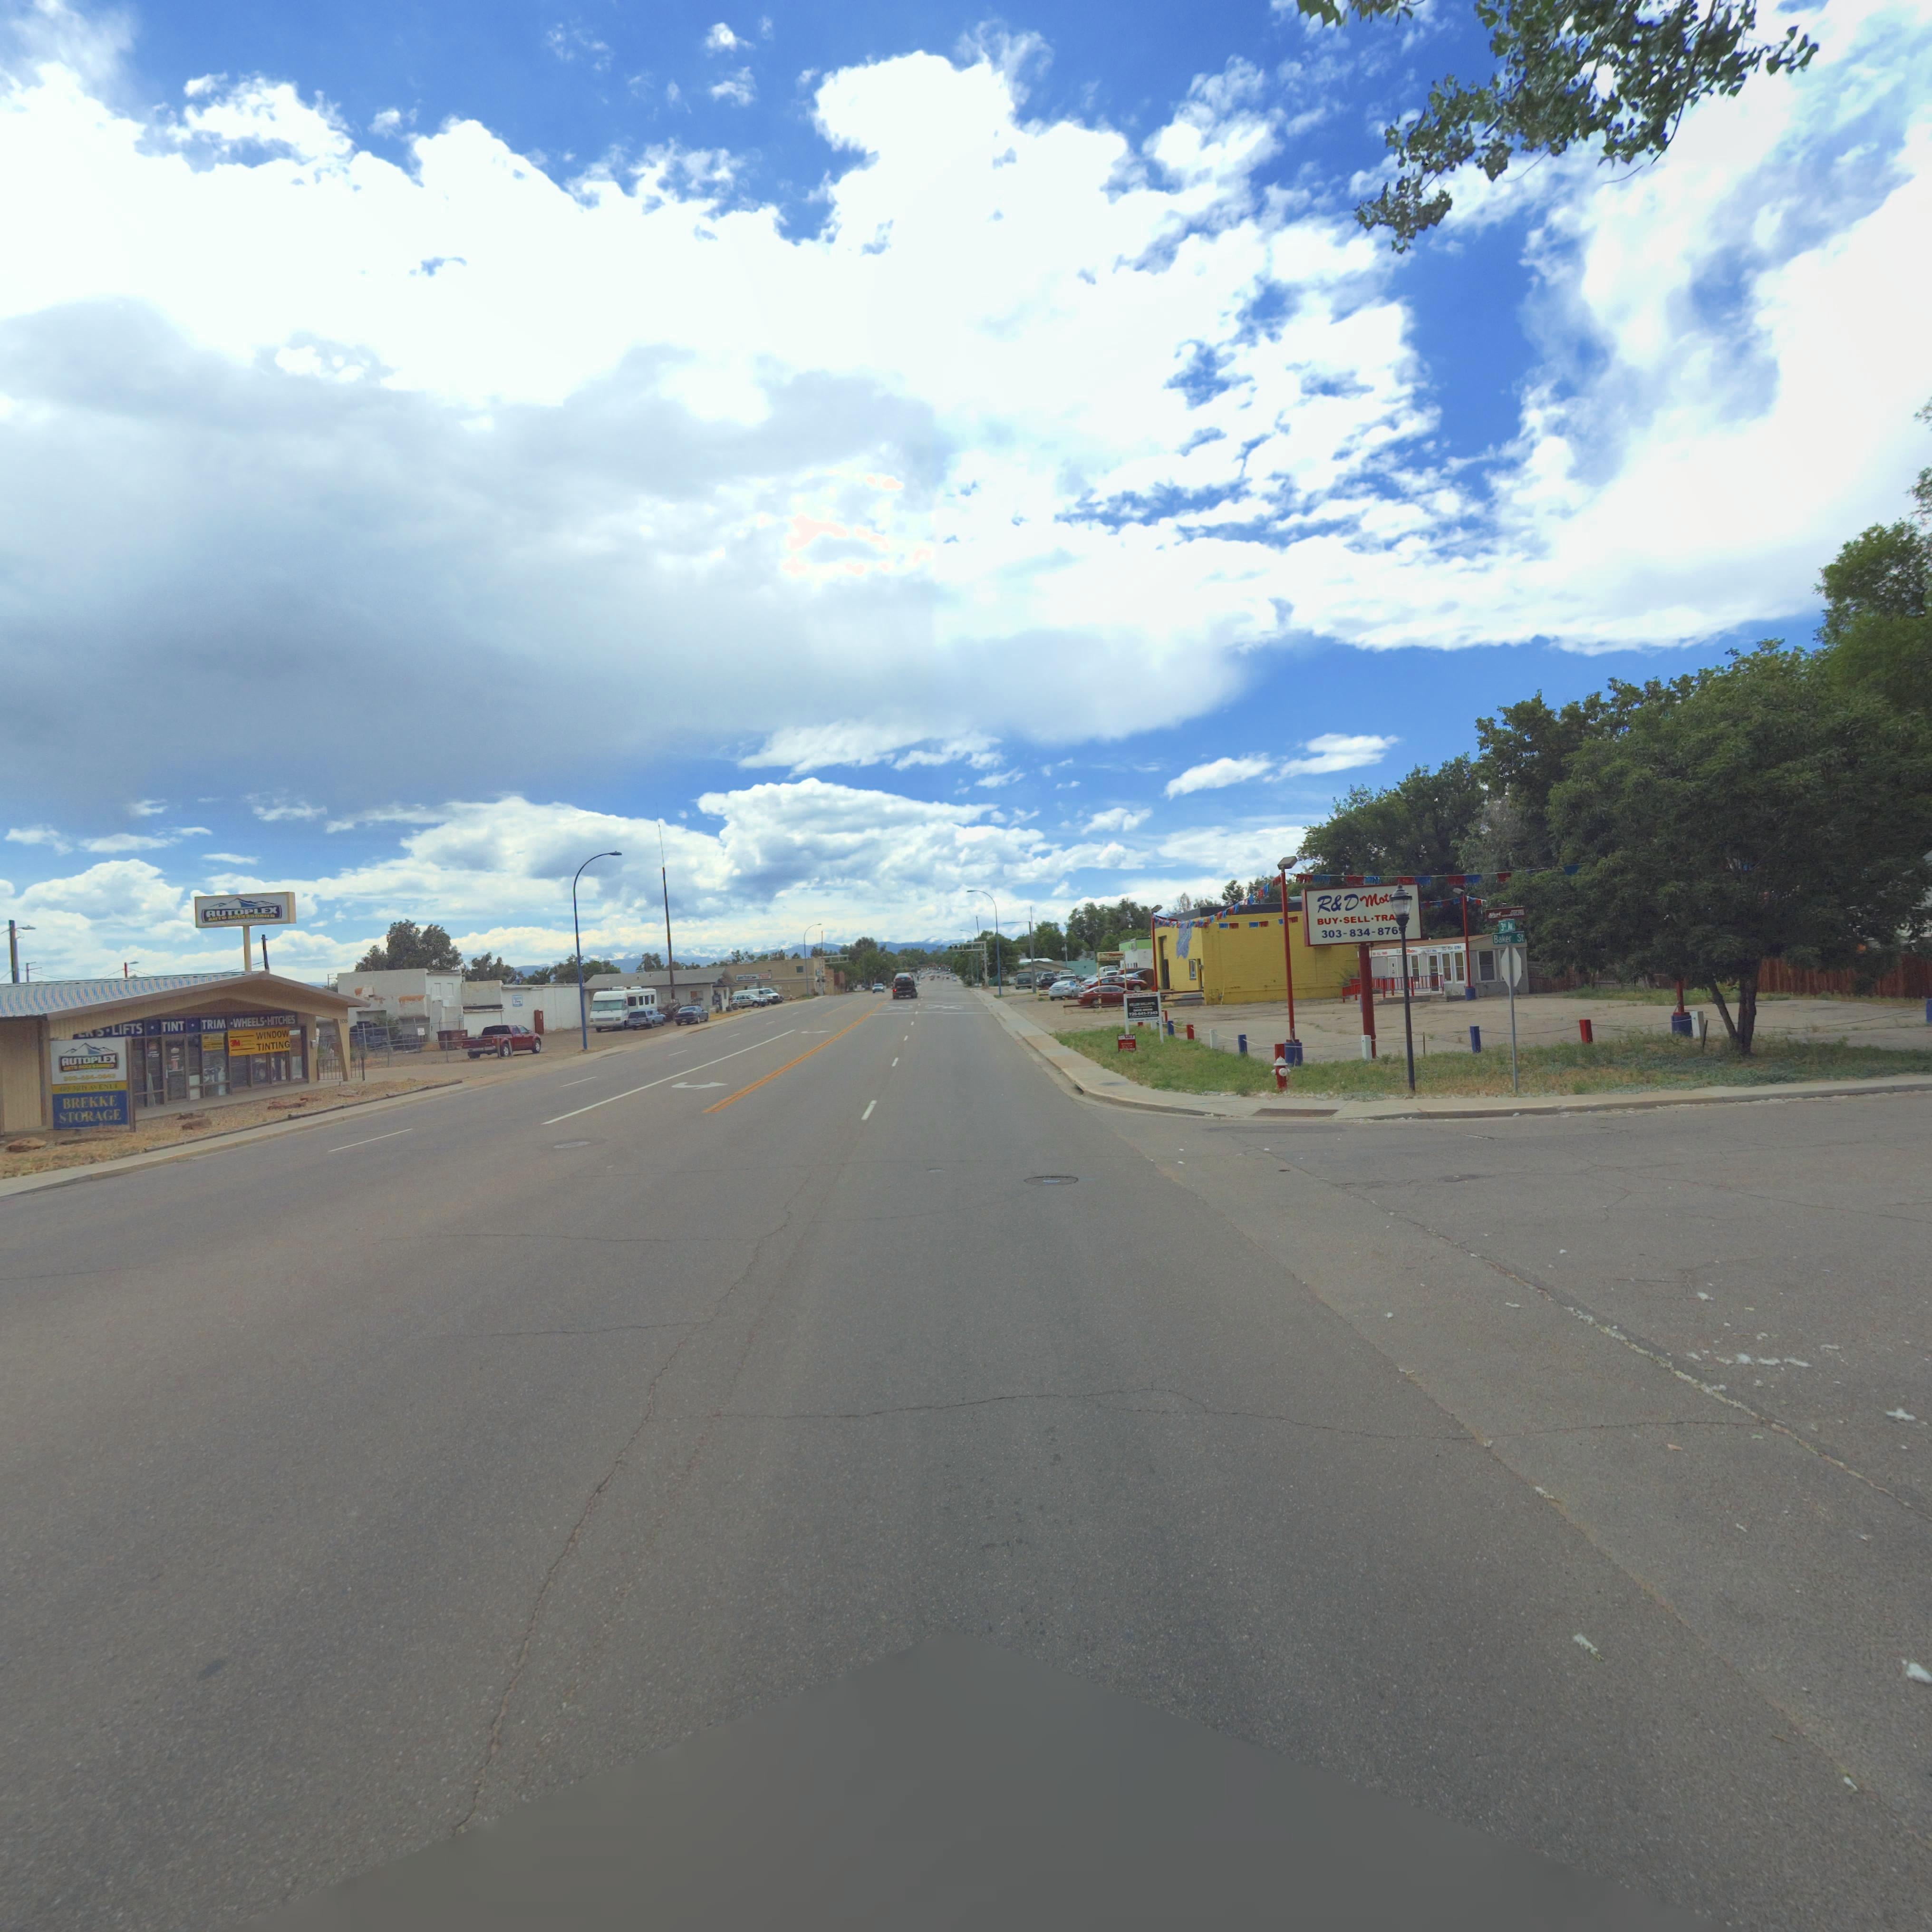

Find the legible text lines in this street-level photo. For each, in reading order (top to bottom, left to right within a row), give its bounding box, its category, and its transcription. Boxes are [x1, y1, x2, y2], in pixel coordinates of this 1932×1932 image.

[1316, 892, 1359, 913] BusinessName: R*D
[1359, 892, 1392, 908] BusinessName: Mot*
[205, 906, 277, 917] BusinessName: AUTOPLEX
[208, 914, 275, 921] BusinessName: AUTO AC**SORIES
[1500, 921, 1513, 931] StreetName: 3** Av
[1493, 933, 1524, 943] StreetName: Baker St
[339, 1018, 348, 1024] StreetNumber: 105
[61, 1053, 116, 1066] BusinessName: AUTOPLEX
[62, 1094, 117, 1110] BusinessName: BREKKE
[58, 1108, 122, 1123] BusinessName: STORAGE